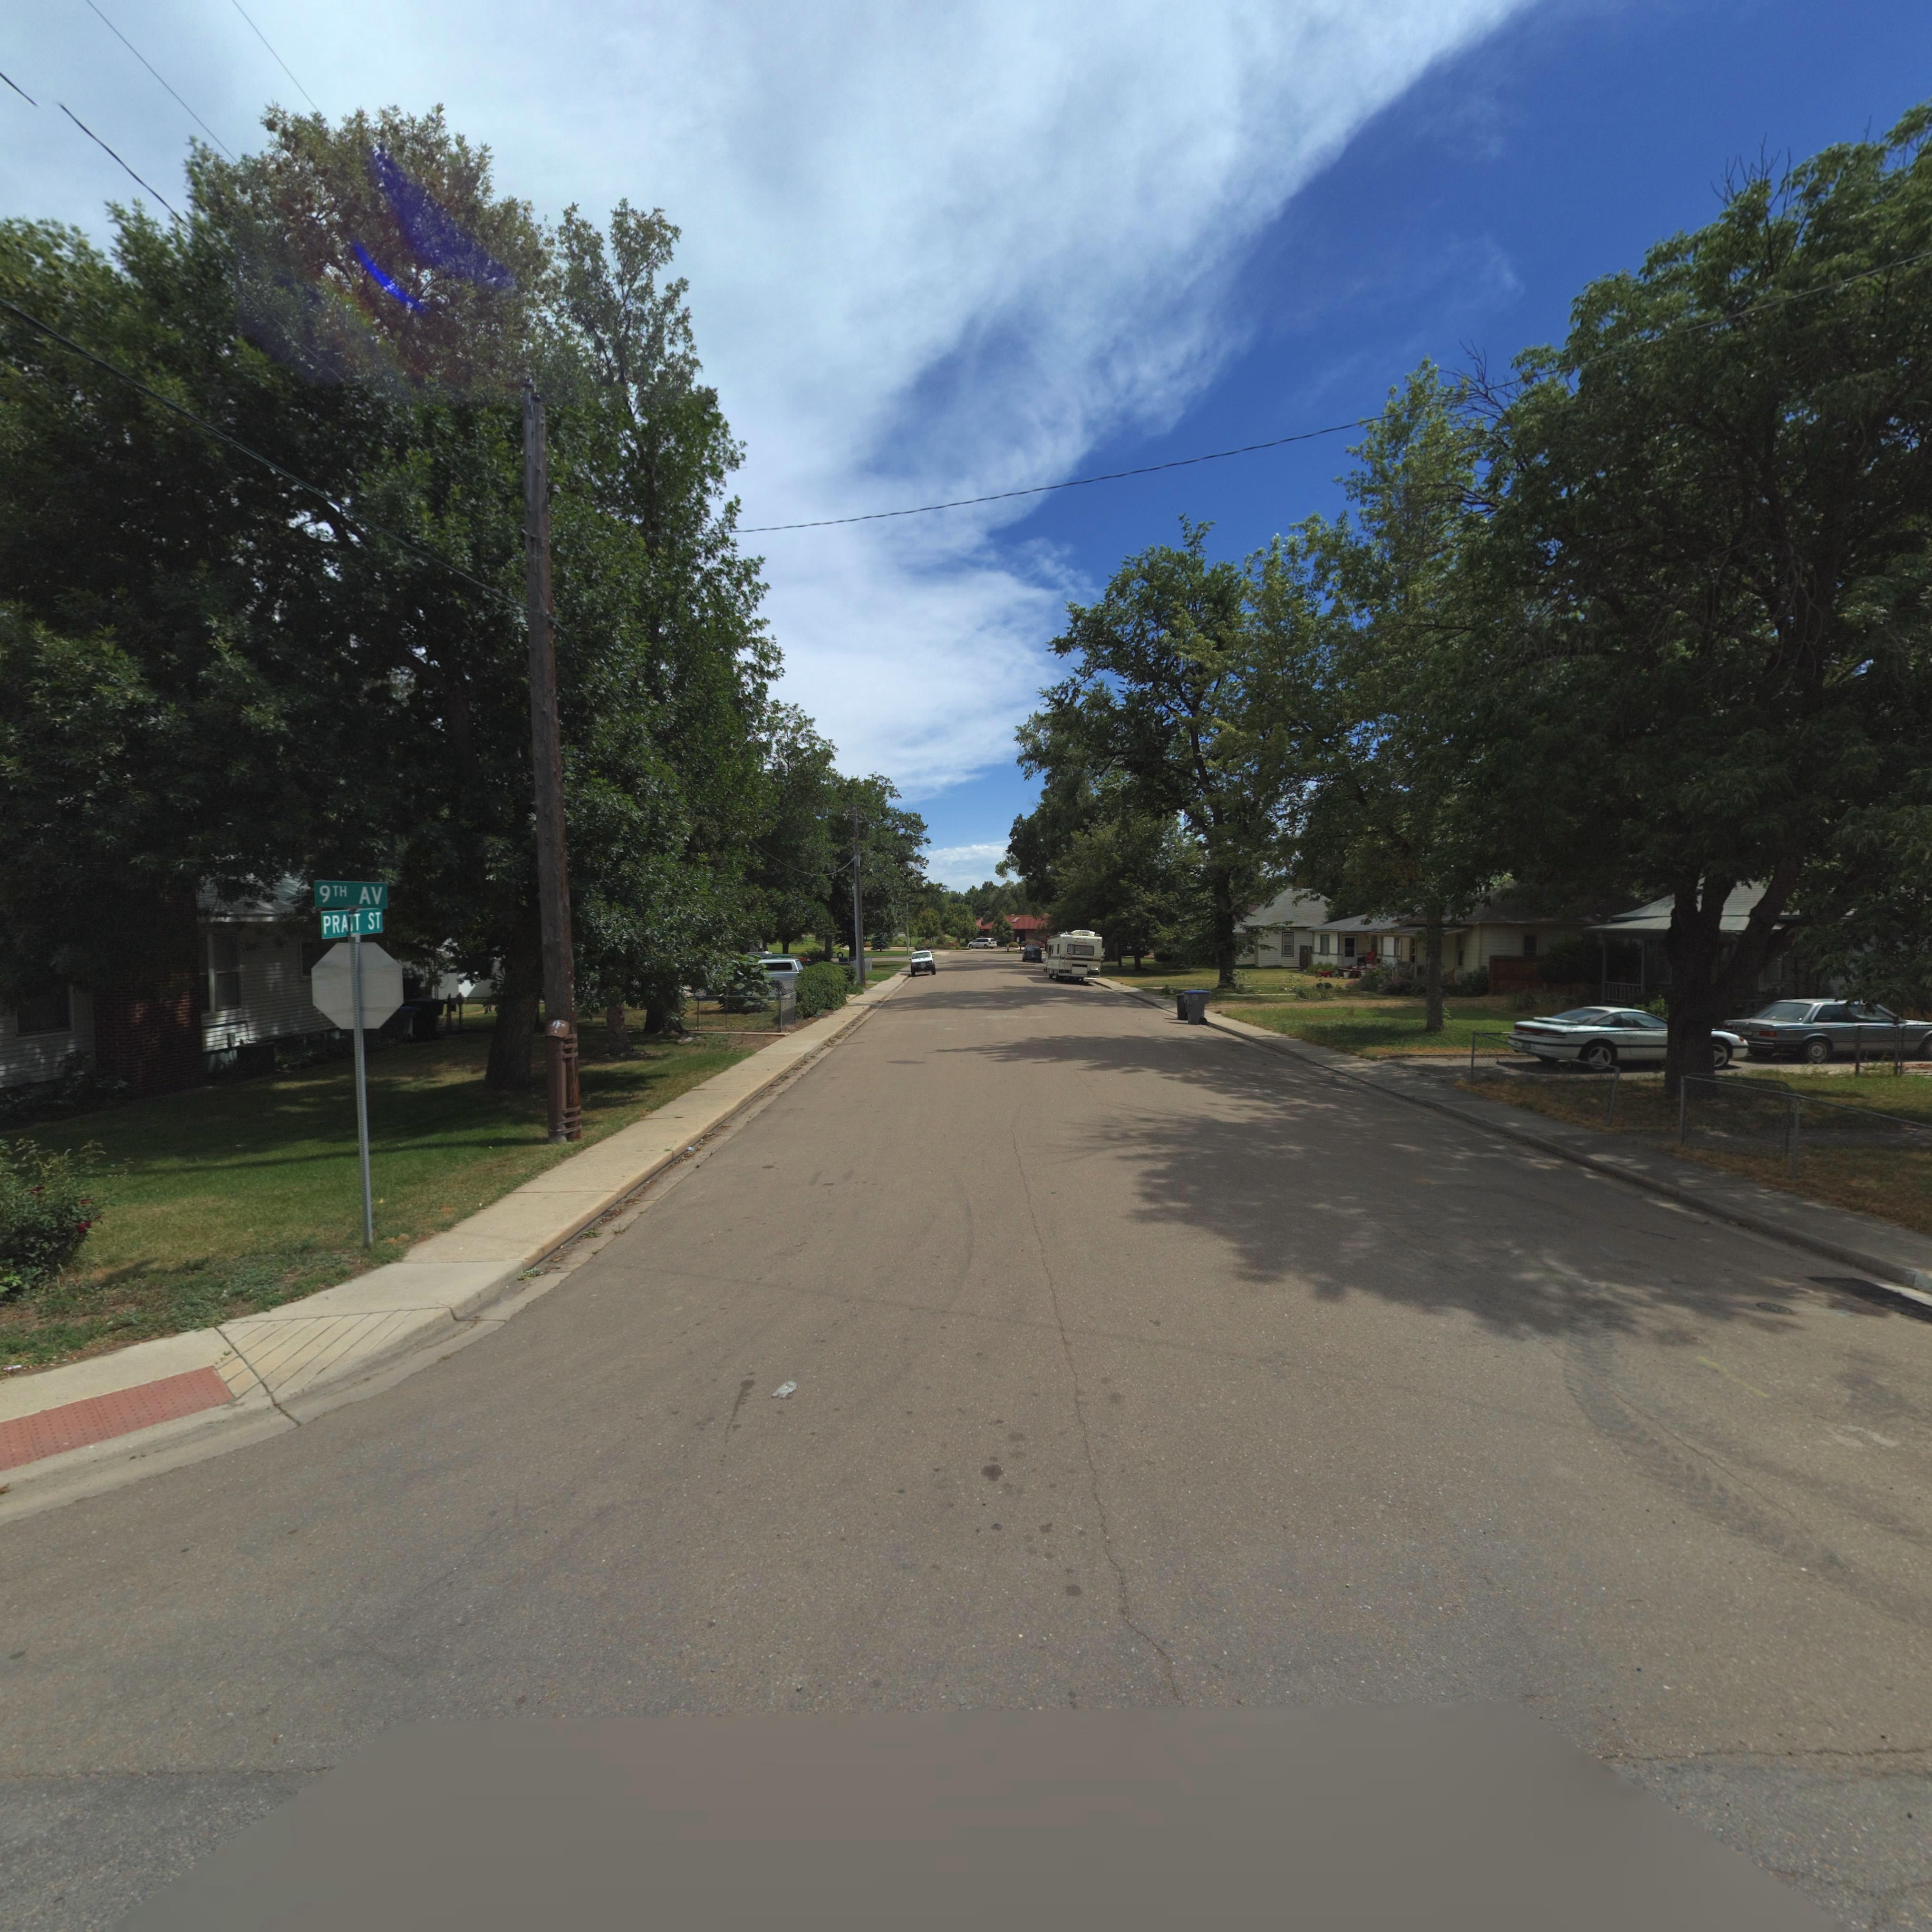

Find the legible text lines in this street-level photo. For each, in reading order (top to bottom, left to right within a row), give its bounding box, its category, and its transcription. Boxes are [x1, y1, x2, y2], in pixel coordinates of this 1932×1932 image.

[319, 885, 383, 904] StreetName: 9TH AV
[323, 912, 381, 934] StreetName: PRATT ST